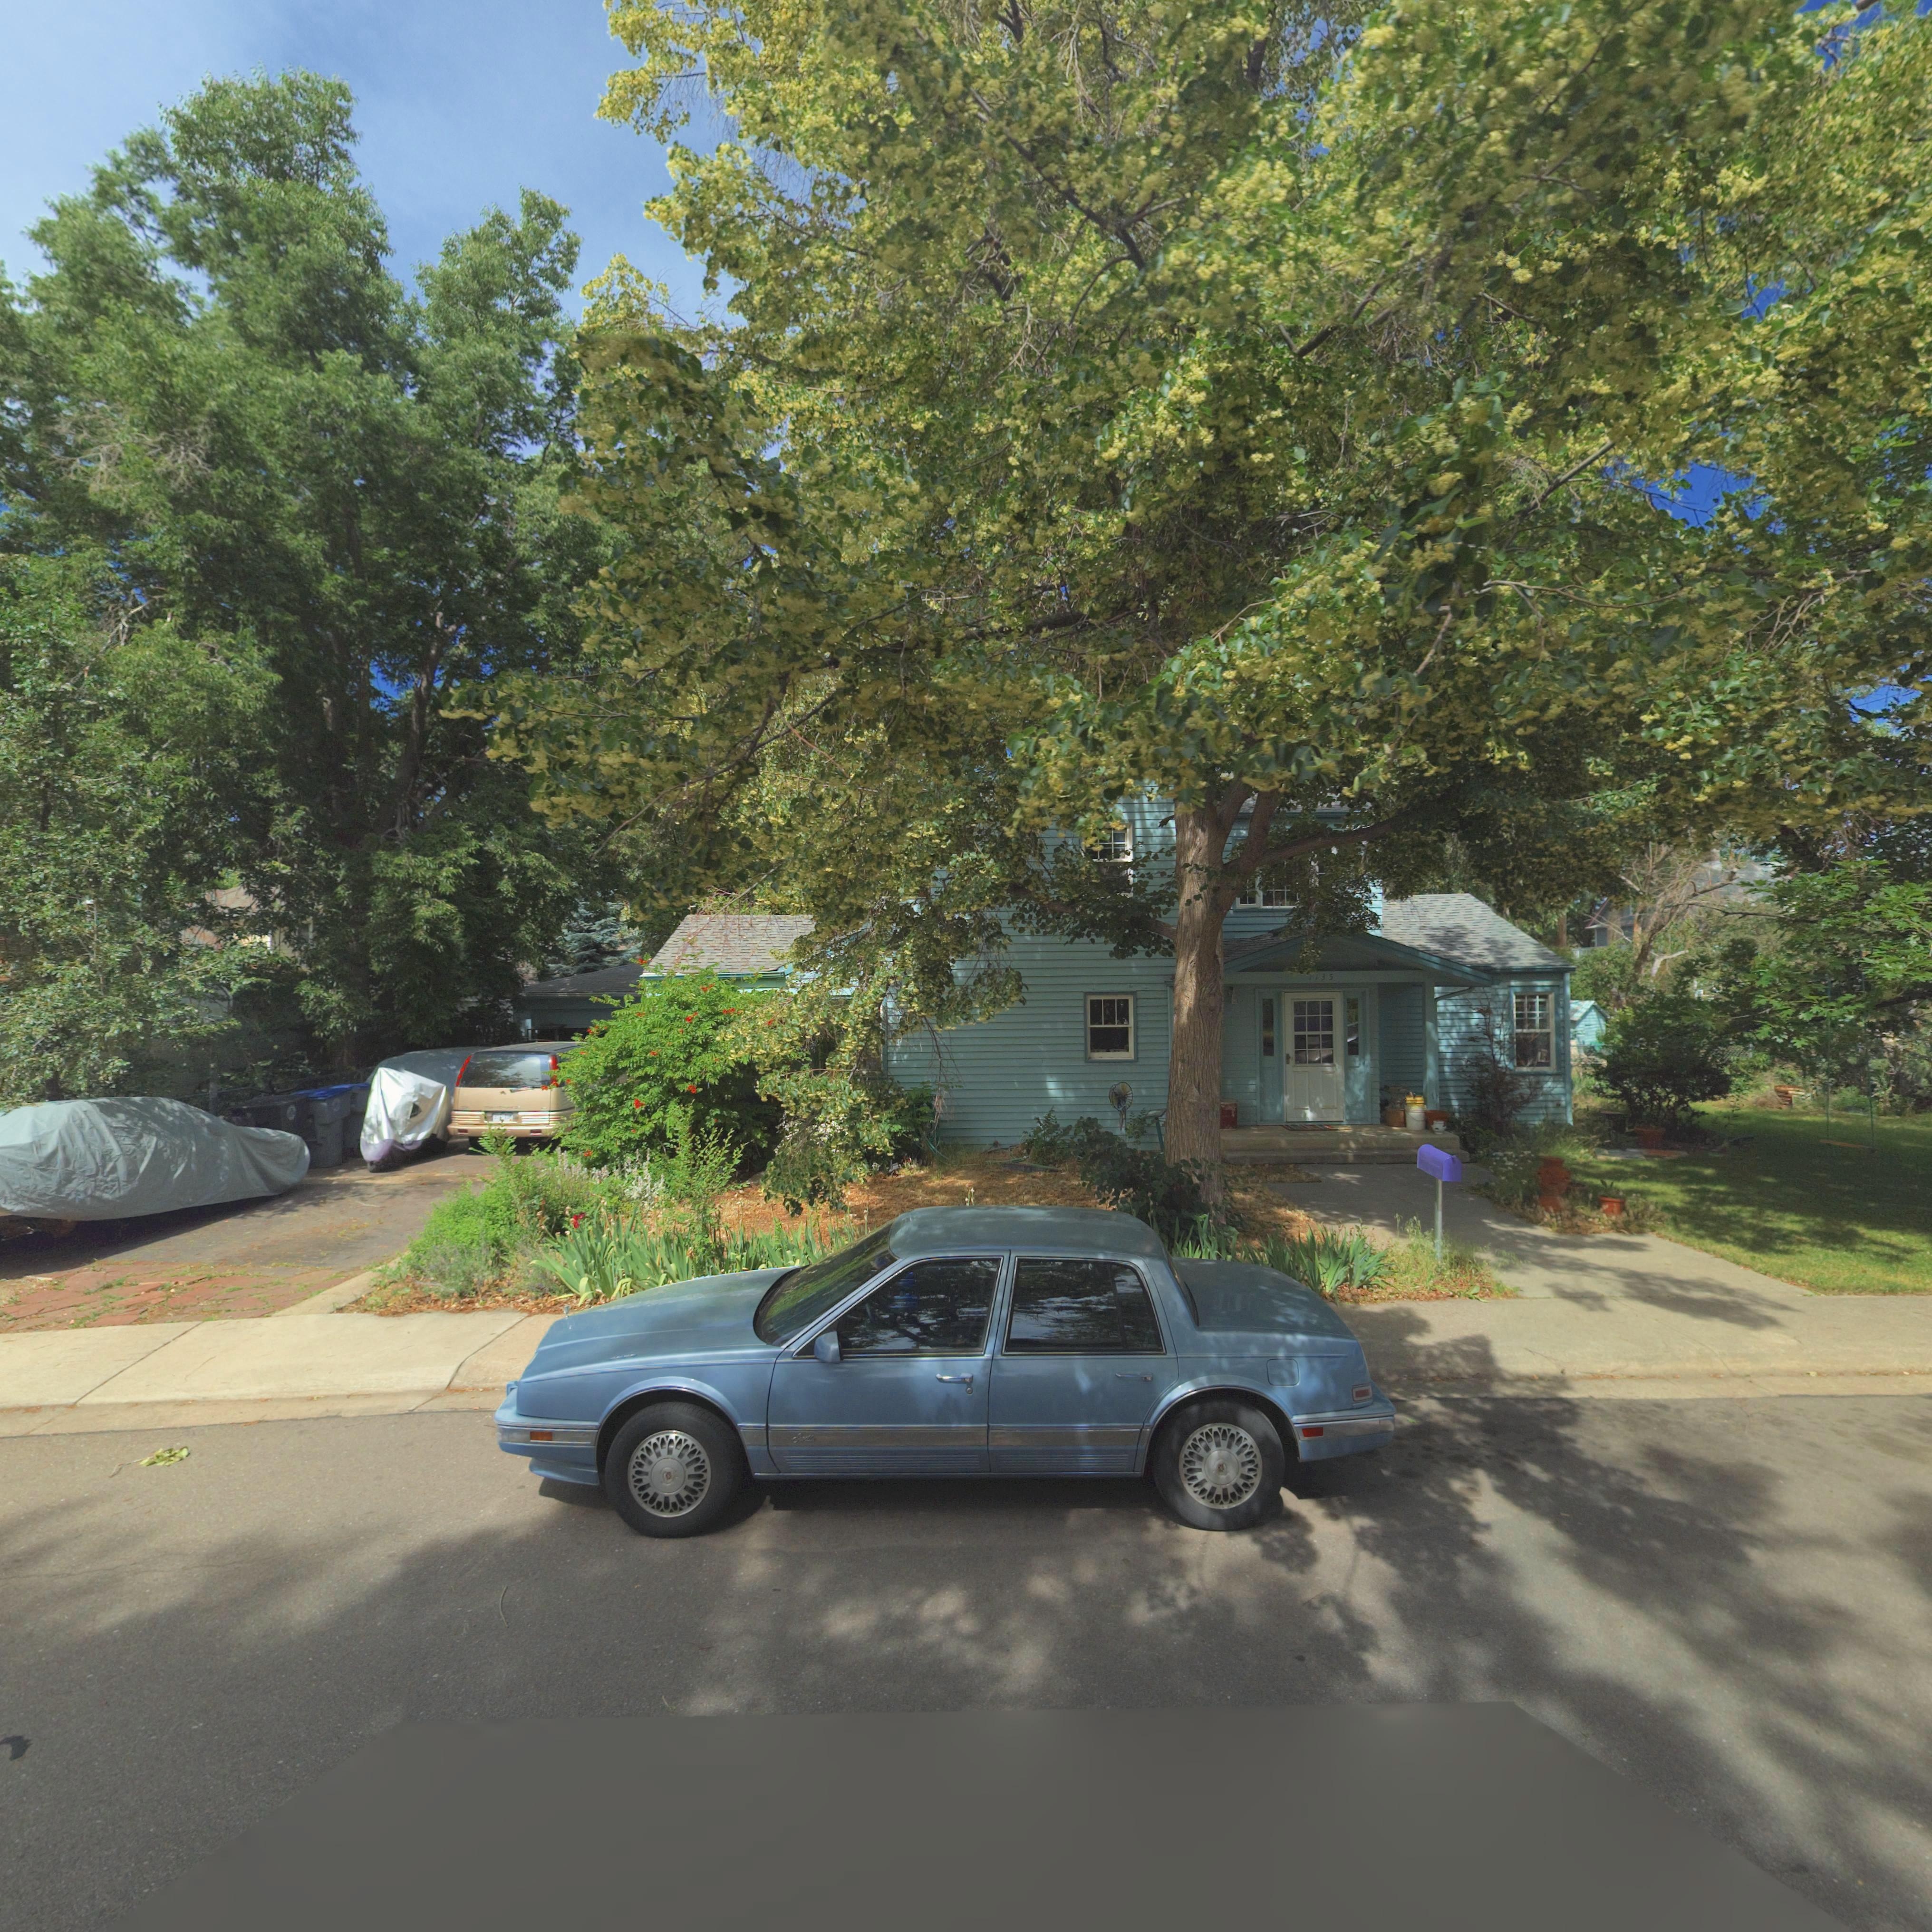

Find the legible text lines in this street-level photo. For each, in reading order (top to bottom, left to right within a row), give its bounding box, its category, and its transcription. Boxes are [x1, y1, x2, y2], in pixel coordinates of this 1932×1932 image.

[1308, 972, 1333, 981] StreetNumber: 1135